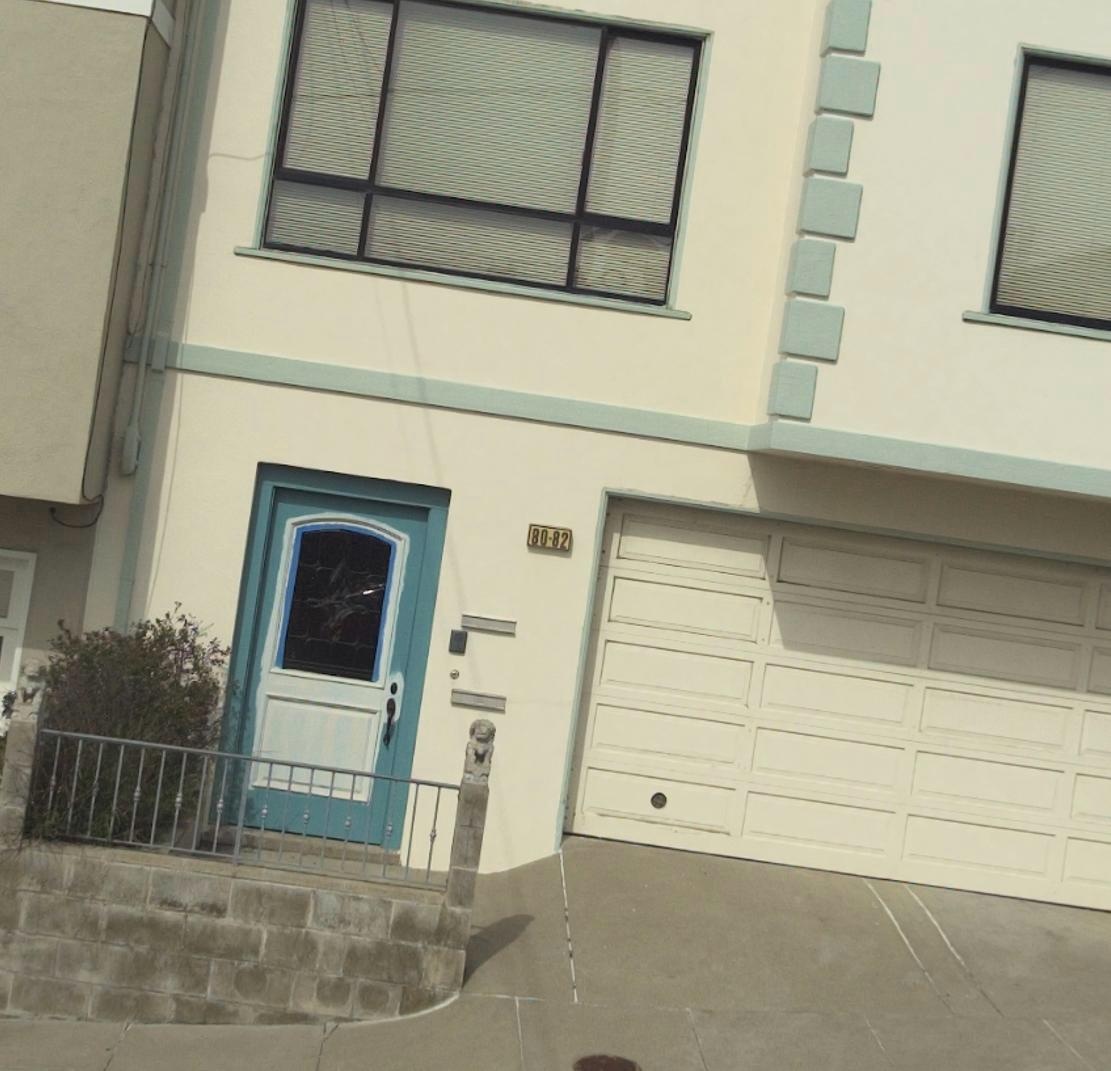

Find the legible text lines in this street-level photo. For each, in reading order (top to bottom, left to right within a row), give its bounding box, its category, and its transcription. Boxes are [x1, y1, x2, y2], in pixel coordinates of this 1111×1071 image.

[531, 527, 550, 546] StreetNumber: 80
[551, 529, 570, 549] StreetNumber: 82